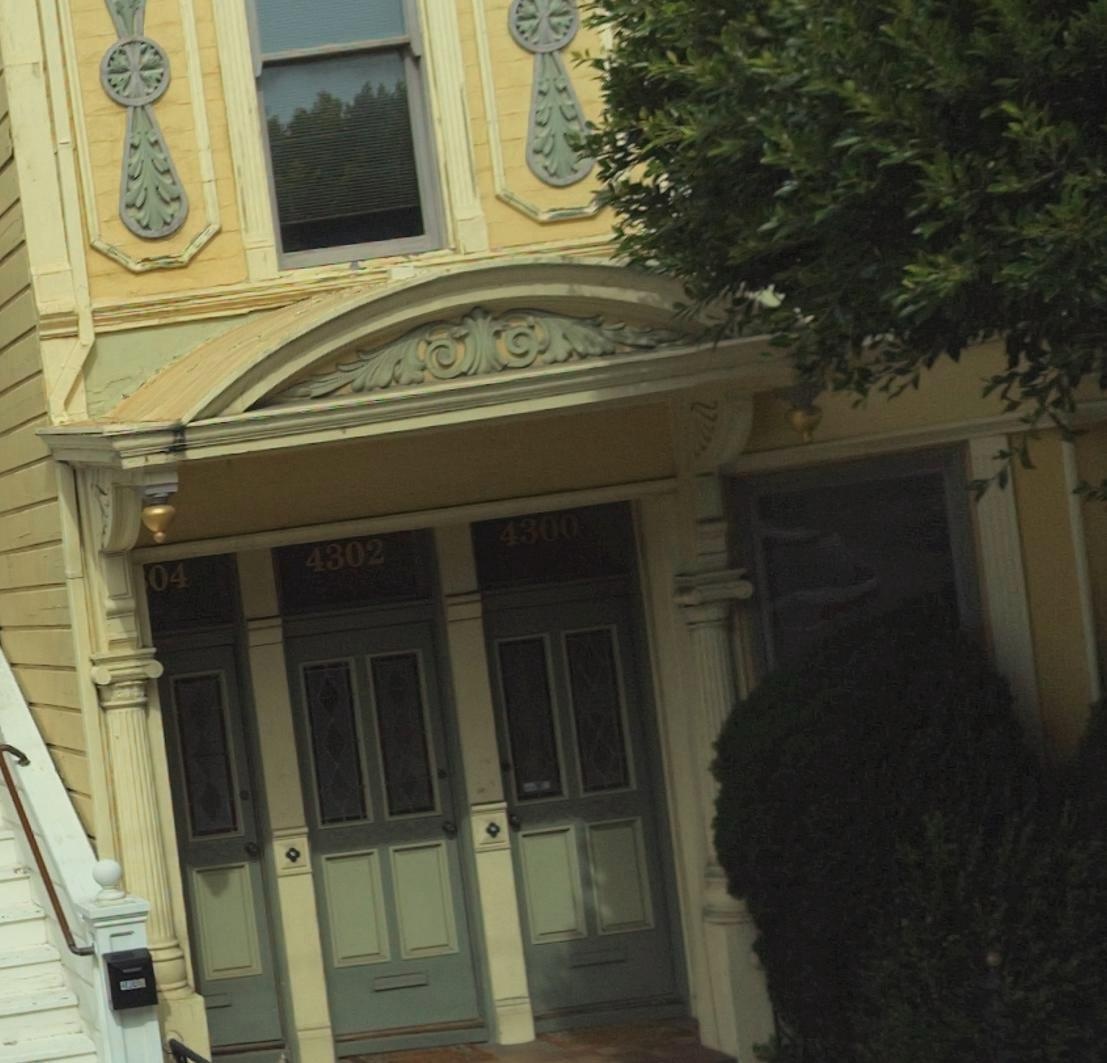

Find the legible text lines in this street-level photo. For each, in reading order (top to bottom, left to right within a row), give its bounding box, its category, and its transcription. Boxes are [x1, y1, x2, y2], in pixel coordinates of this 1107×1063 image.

[495, 509, 583, 549] StreetNumber: 4300
[303, 536, 388, 574] StreetNumber: 4302
[146, 560, 190, 593] StreetNumber: 04